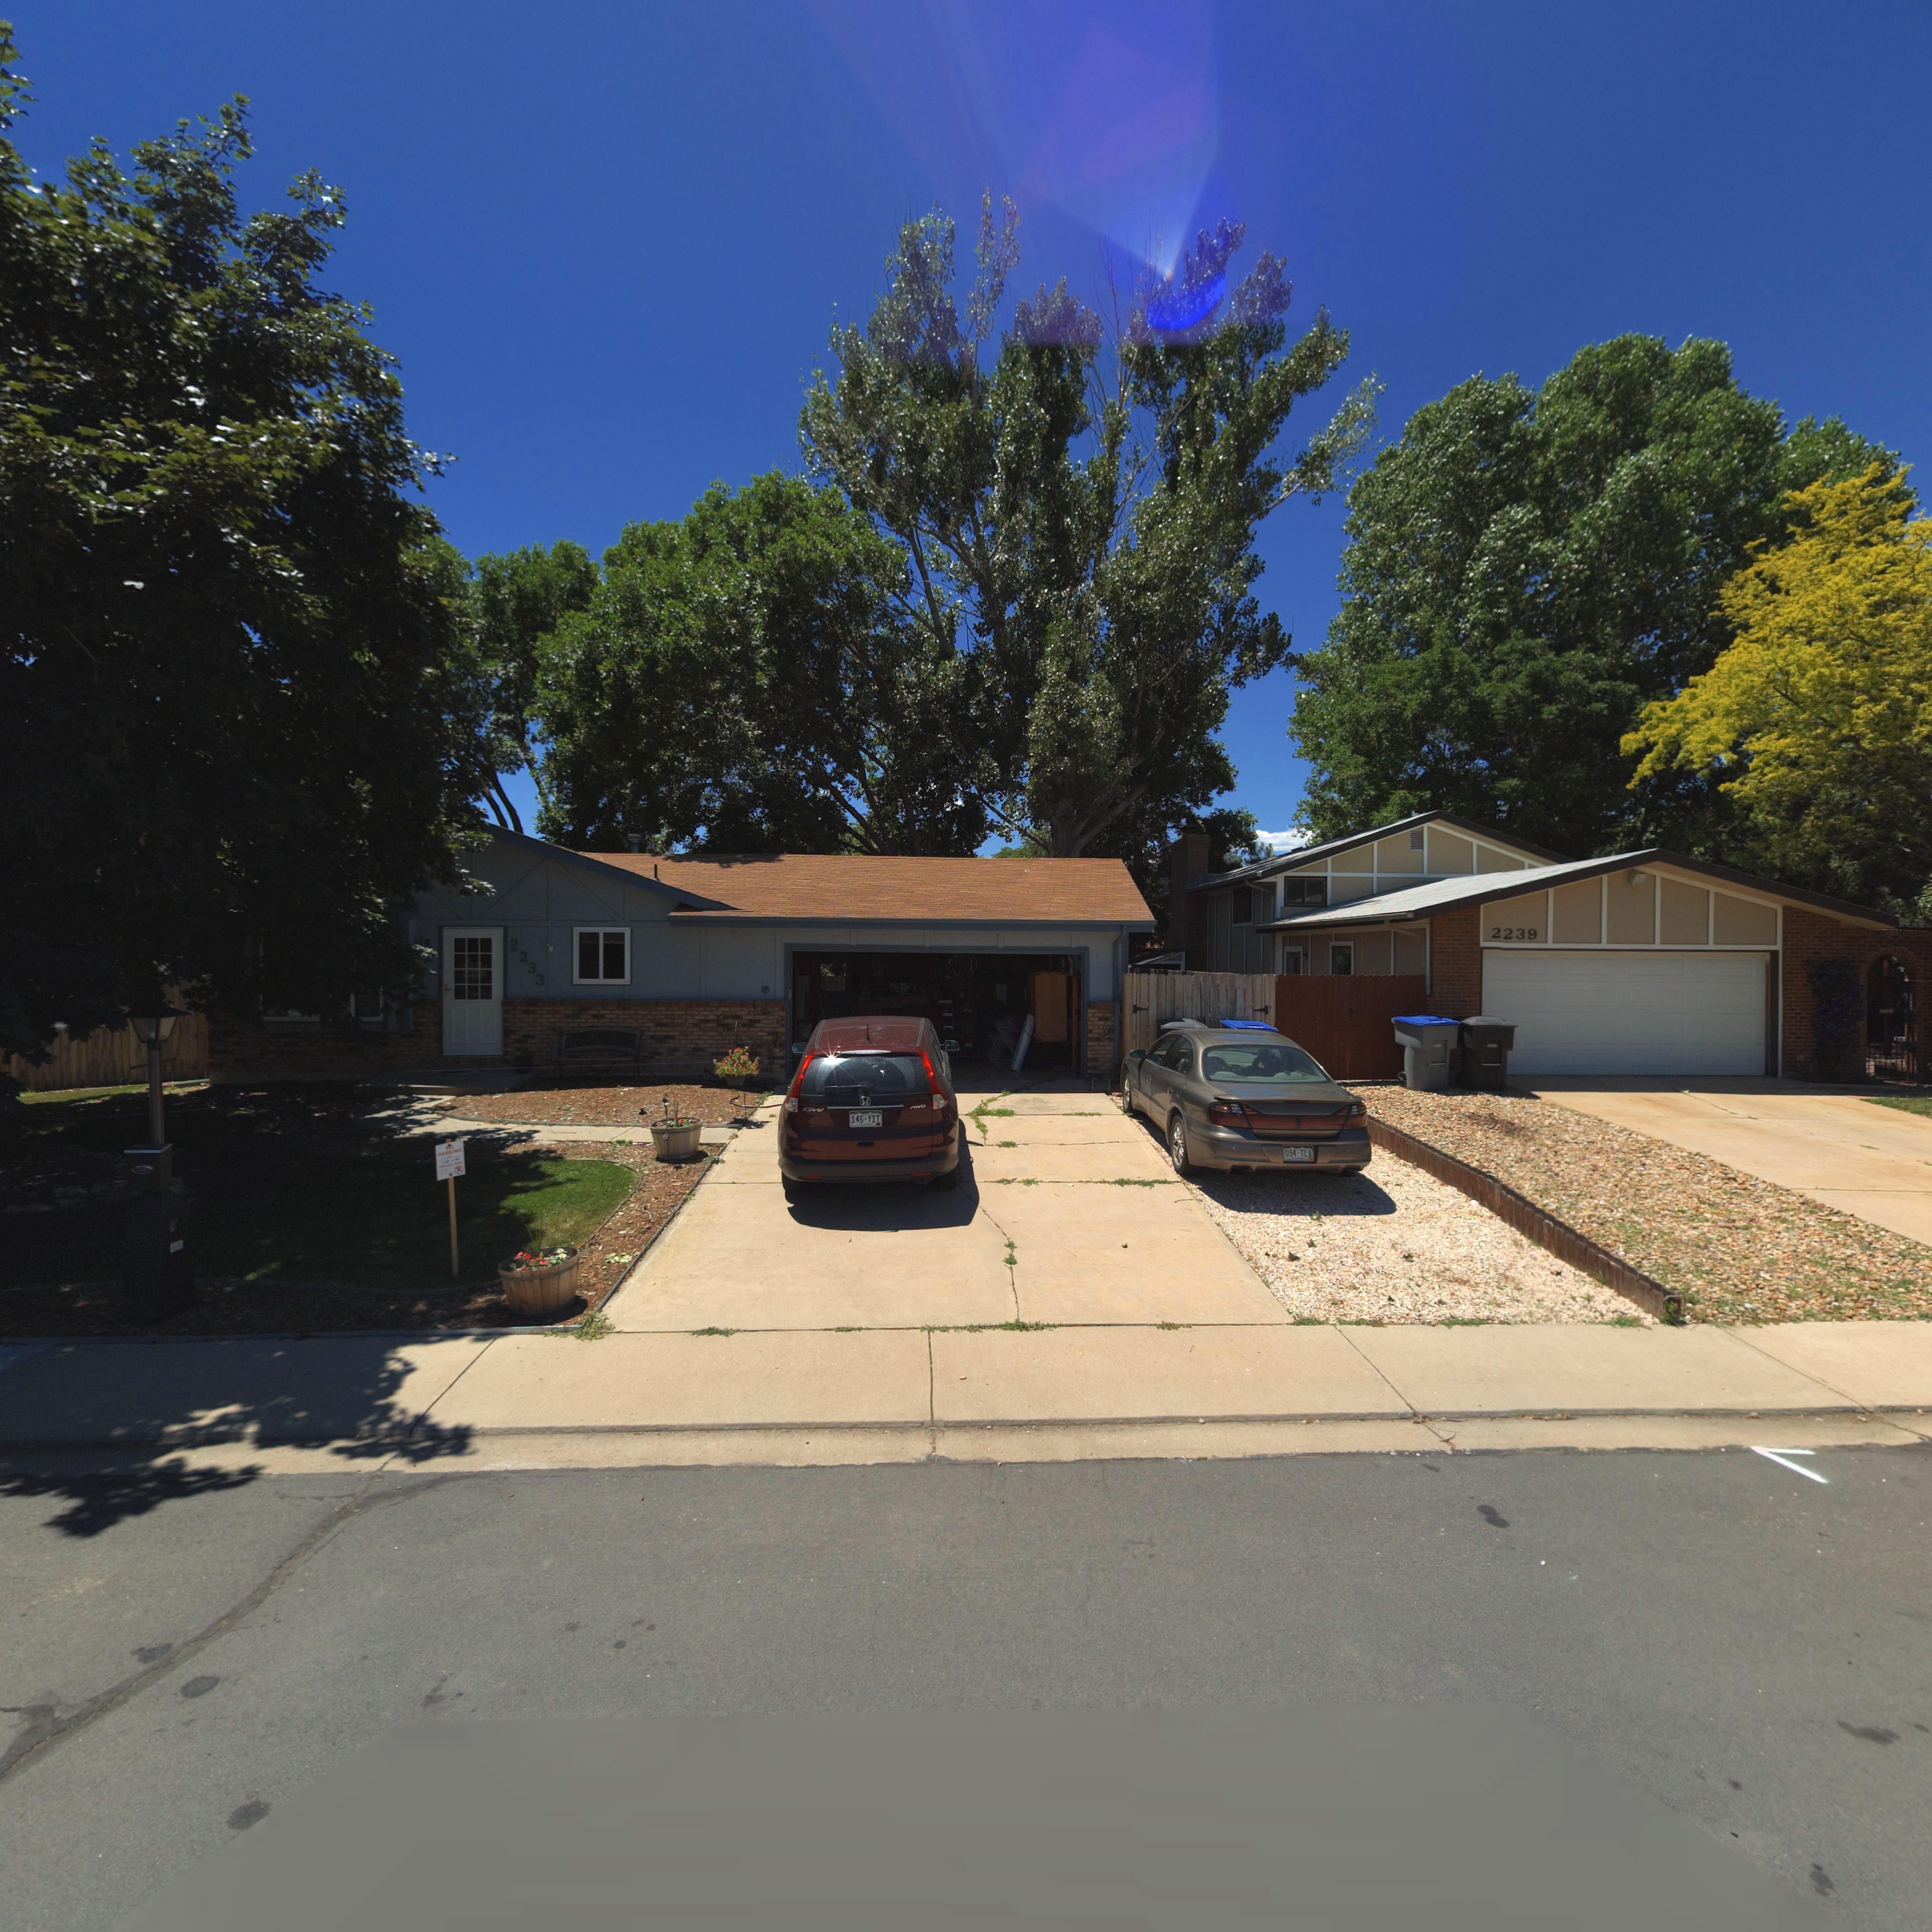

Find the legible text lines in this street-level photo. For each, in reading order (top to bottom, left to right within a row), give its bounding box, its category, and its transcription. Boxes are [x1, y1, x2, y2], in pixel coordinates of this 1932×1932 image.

[1490, 926, 1538, 940] StreetNumber: 2239
[508, 937, 545, 985] StreetNumber: 2233